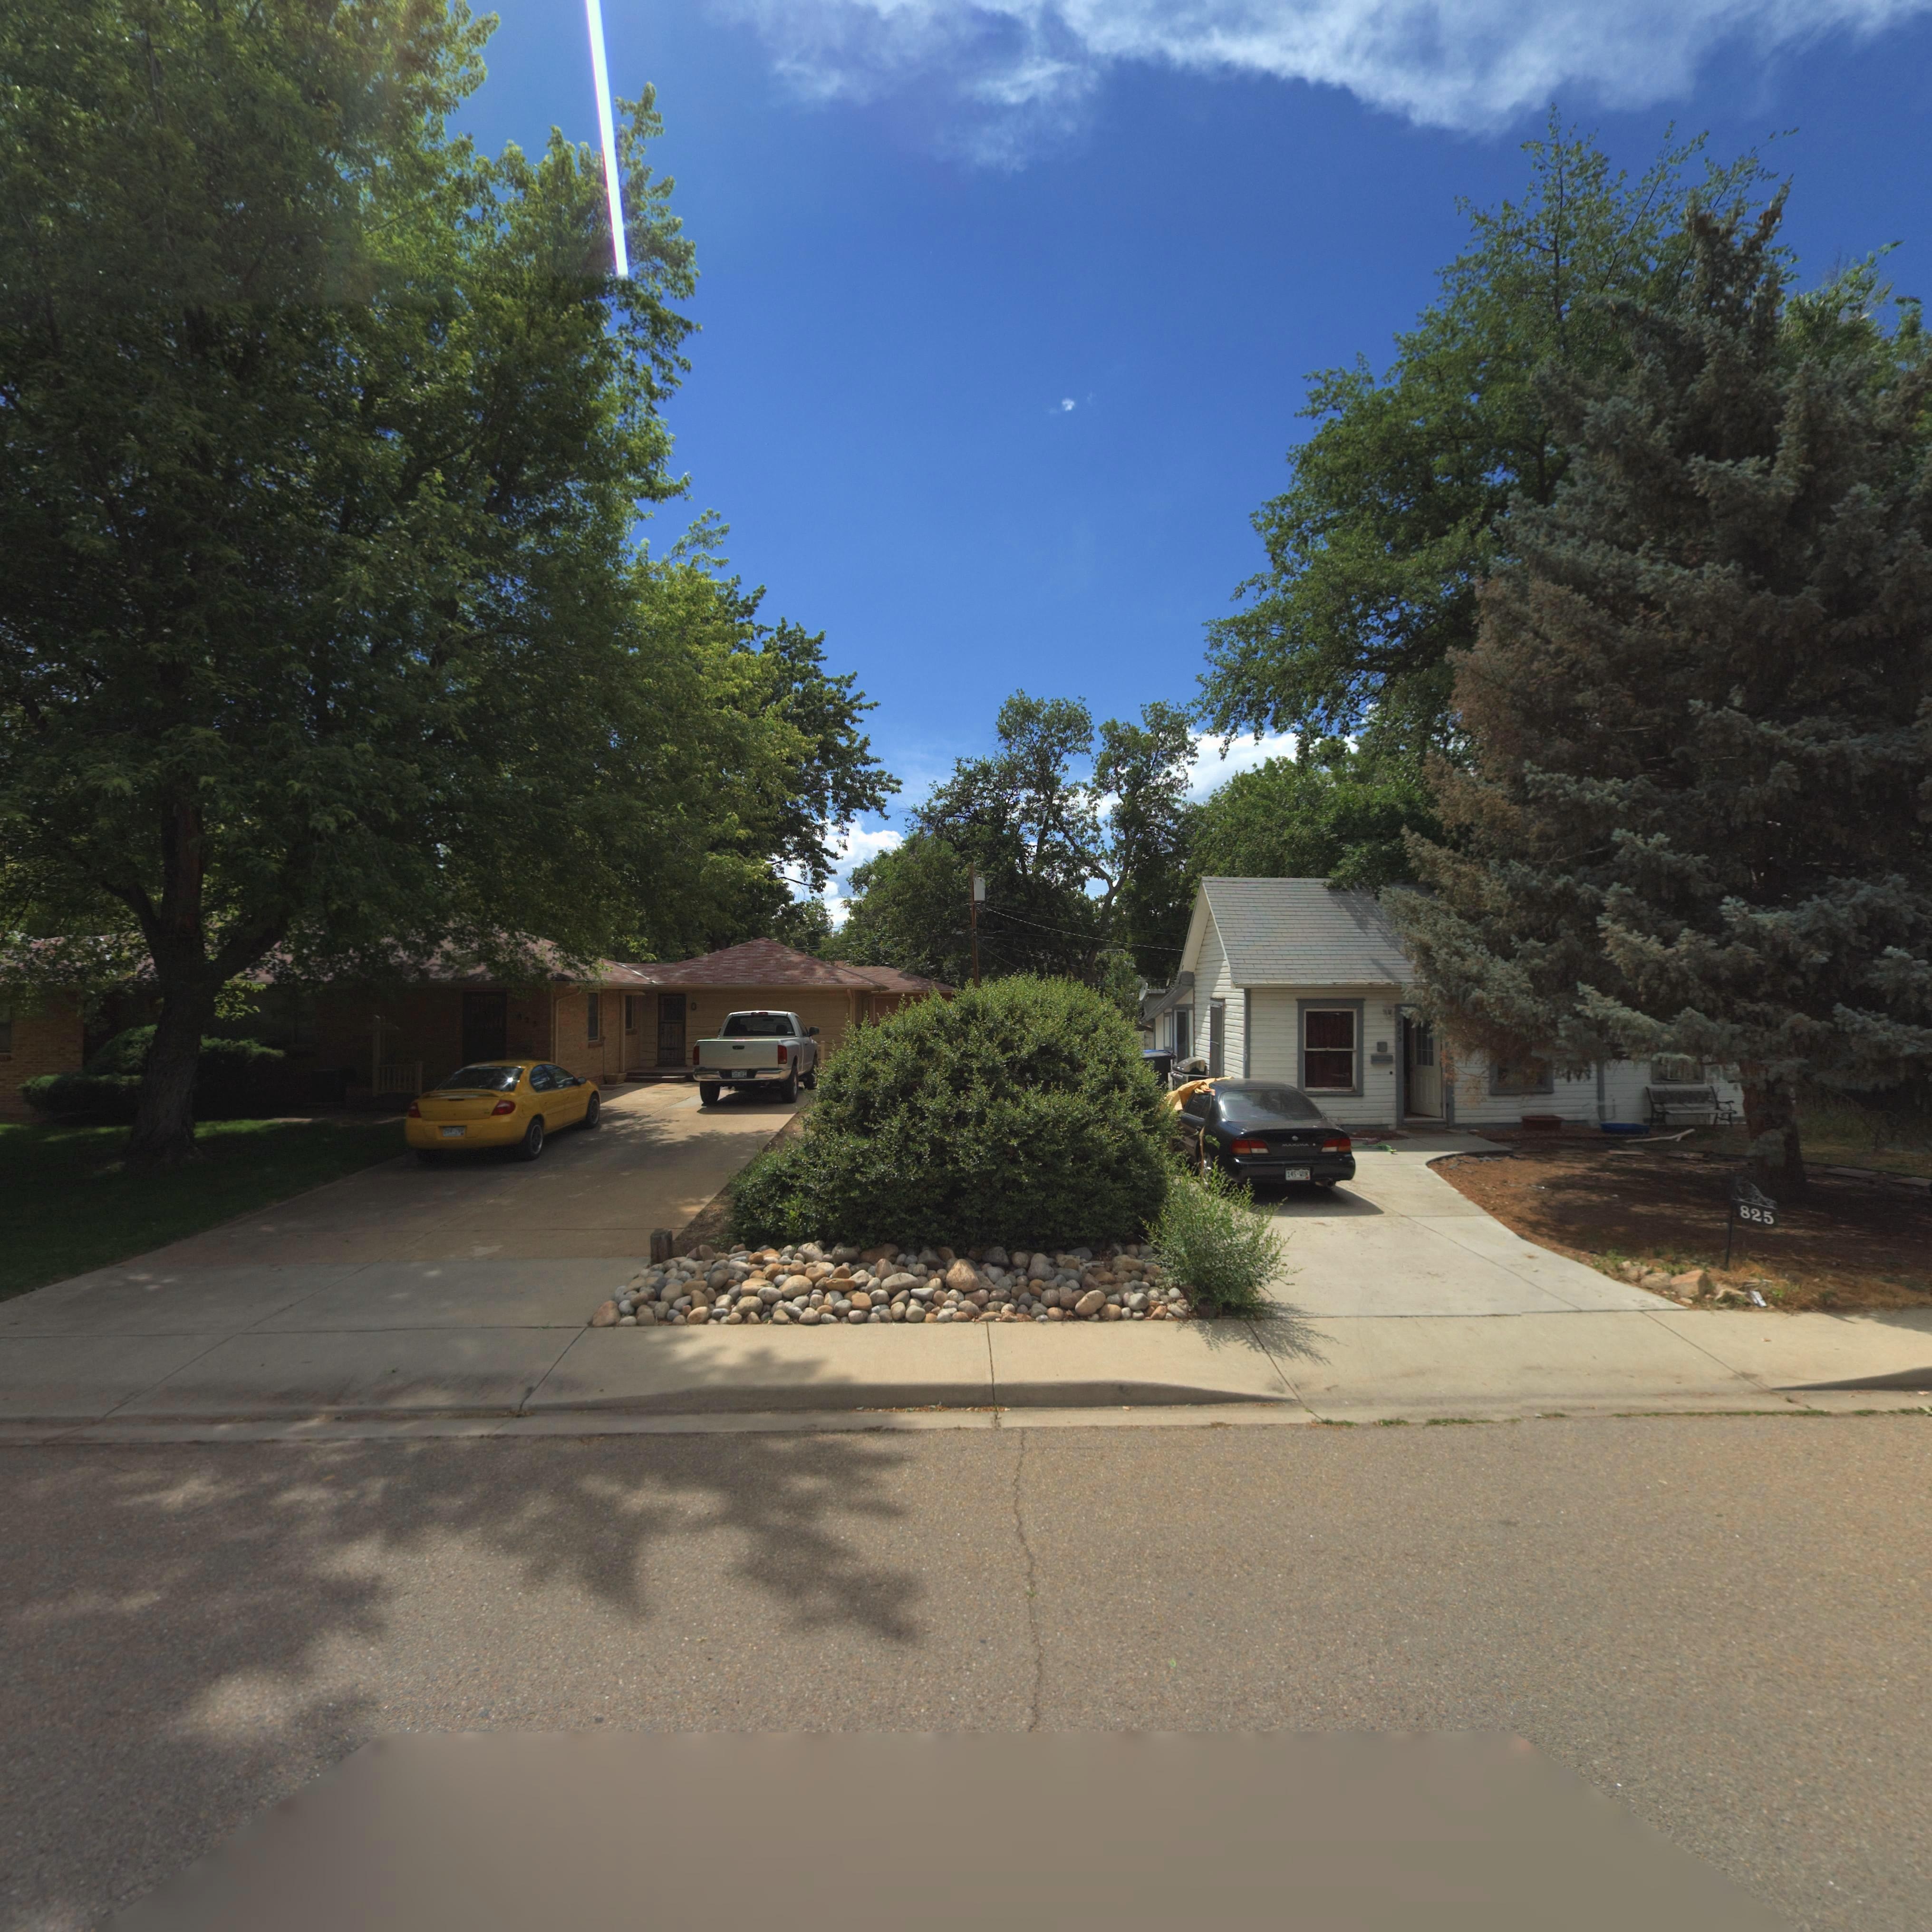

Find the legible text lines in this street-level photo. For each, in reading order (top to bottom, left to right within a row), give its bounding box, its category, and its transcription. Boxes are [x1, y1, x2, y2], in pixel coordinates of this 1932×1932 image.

[1396, 1018, 1402, 1042] StreetNumber: 825
[1739, 1204, 1775, 1226] StreetNumber: 825